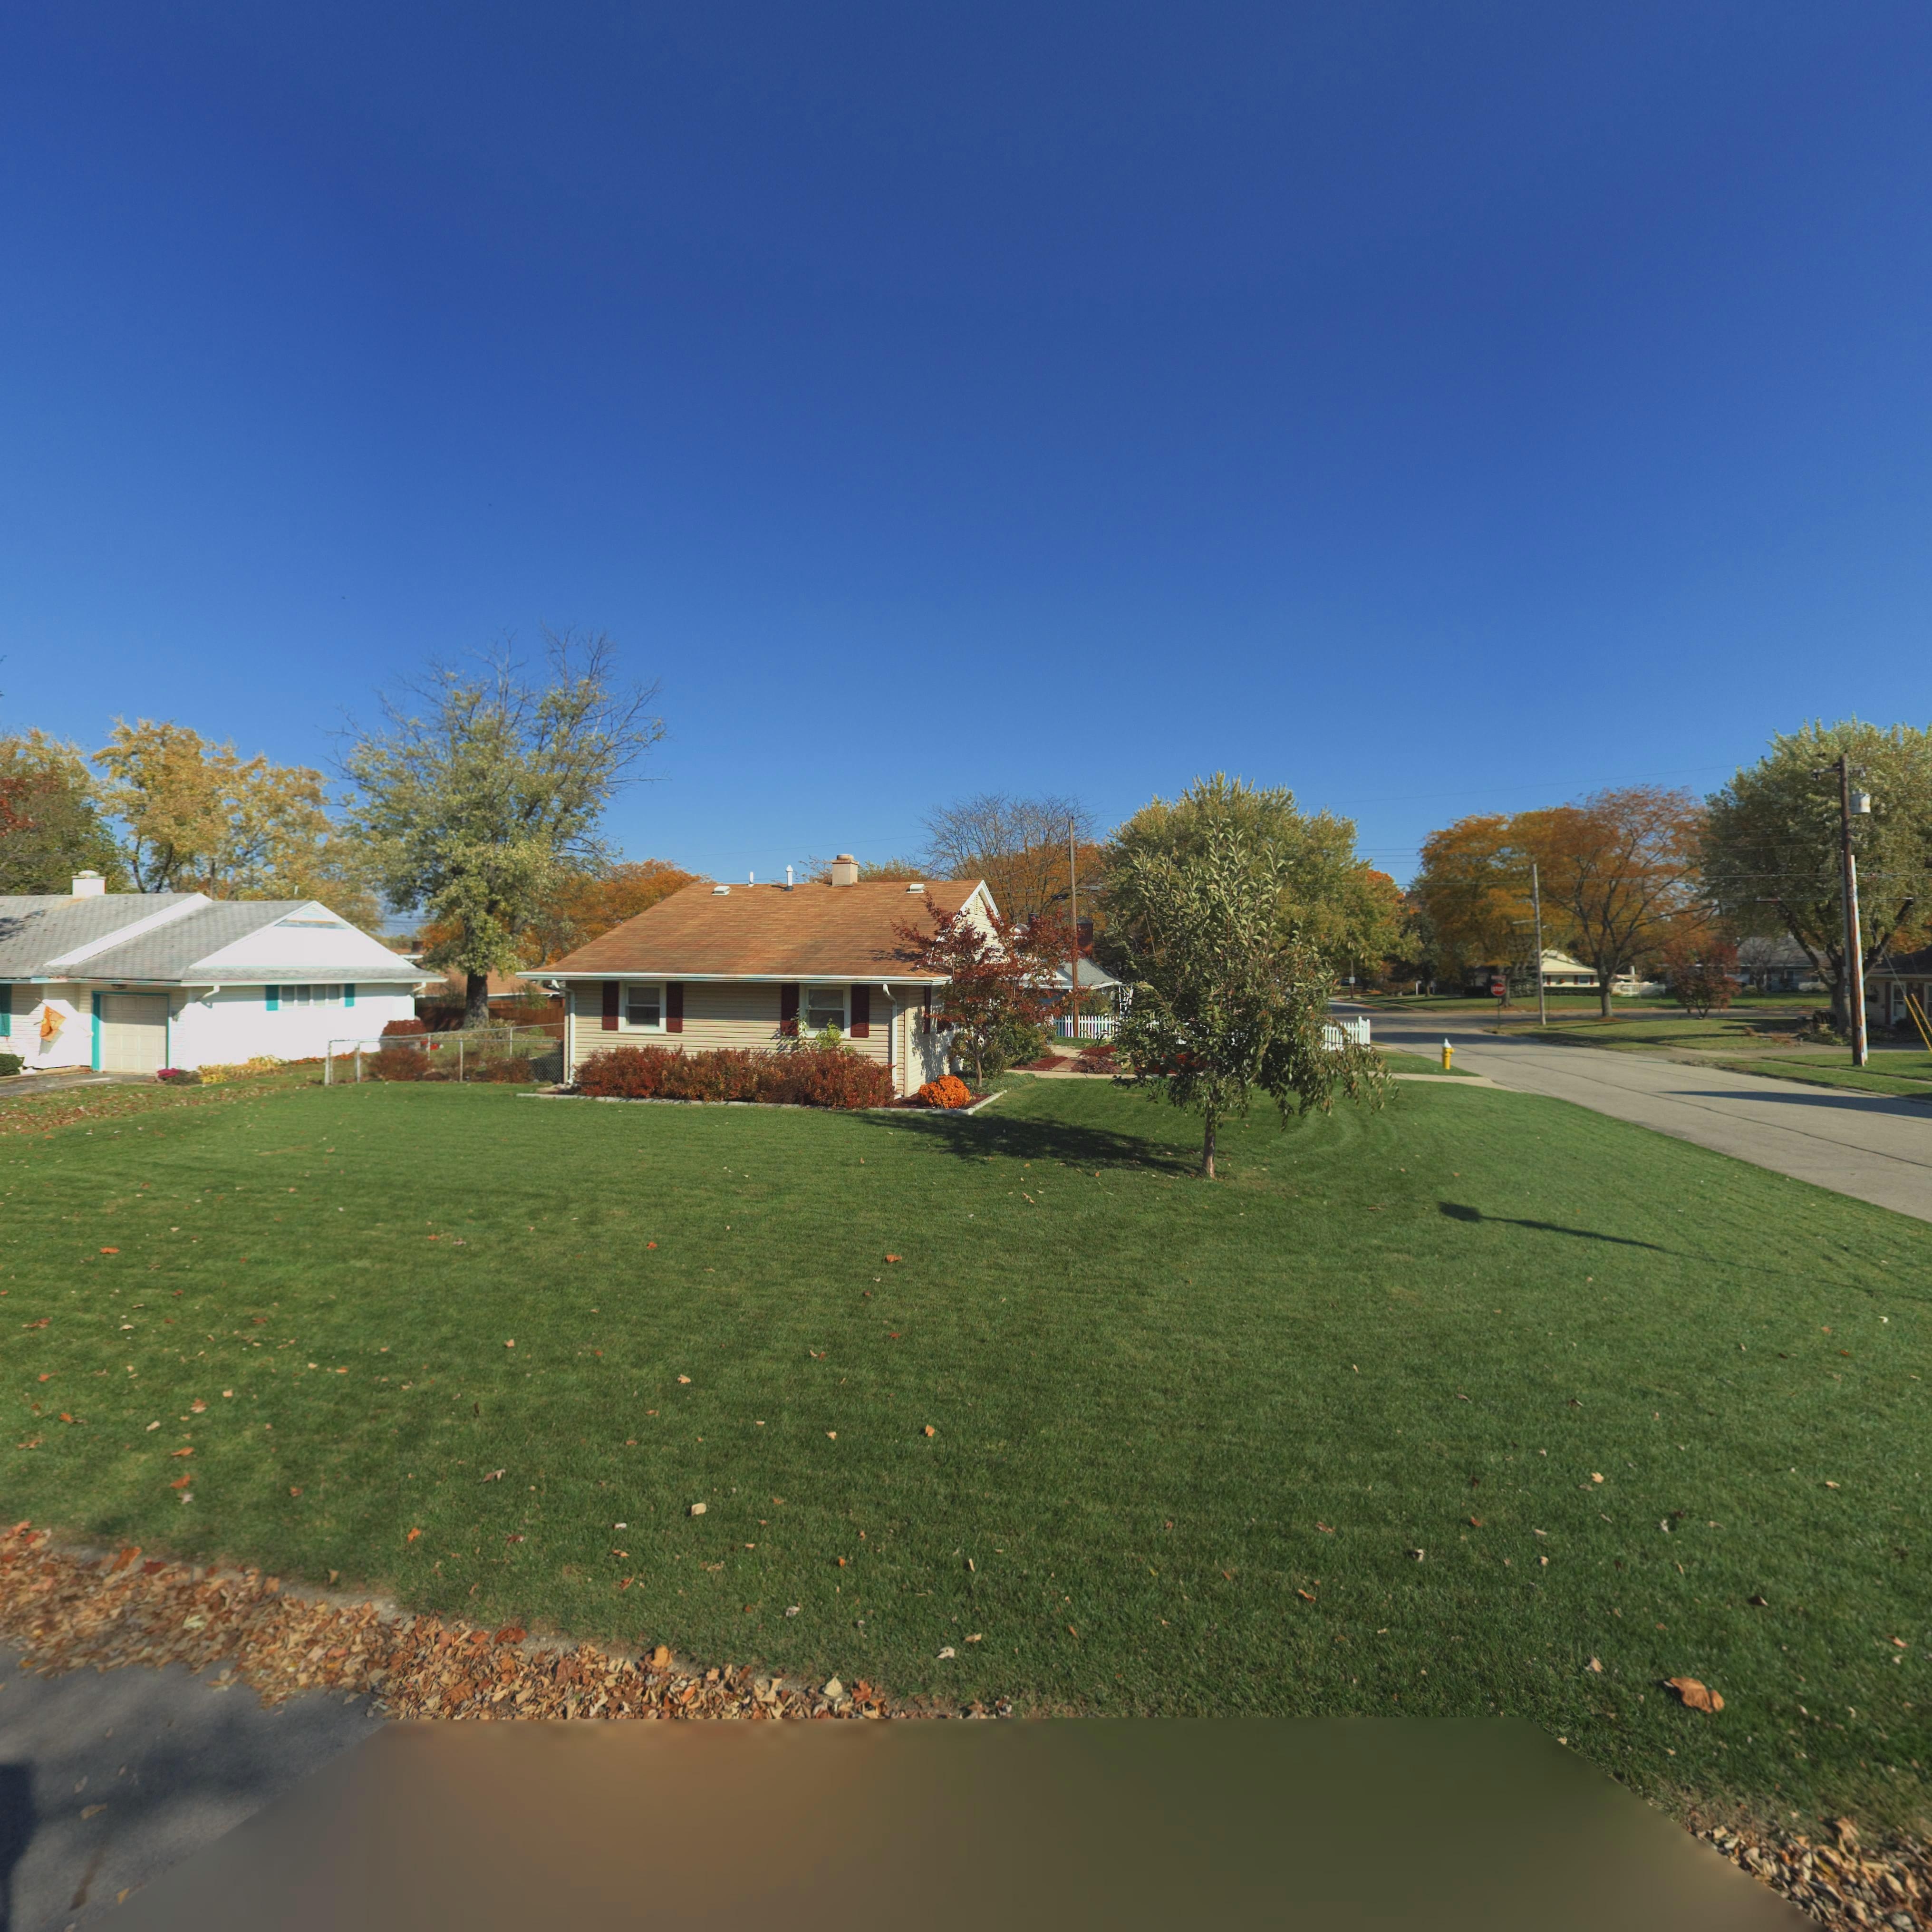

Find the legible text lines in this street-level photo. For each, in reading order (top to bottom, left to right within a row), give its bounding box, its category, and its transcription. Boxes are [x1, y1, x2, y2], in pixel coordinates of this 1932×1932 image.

[1492, 986, 1505, 991] None: STOP